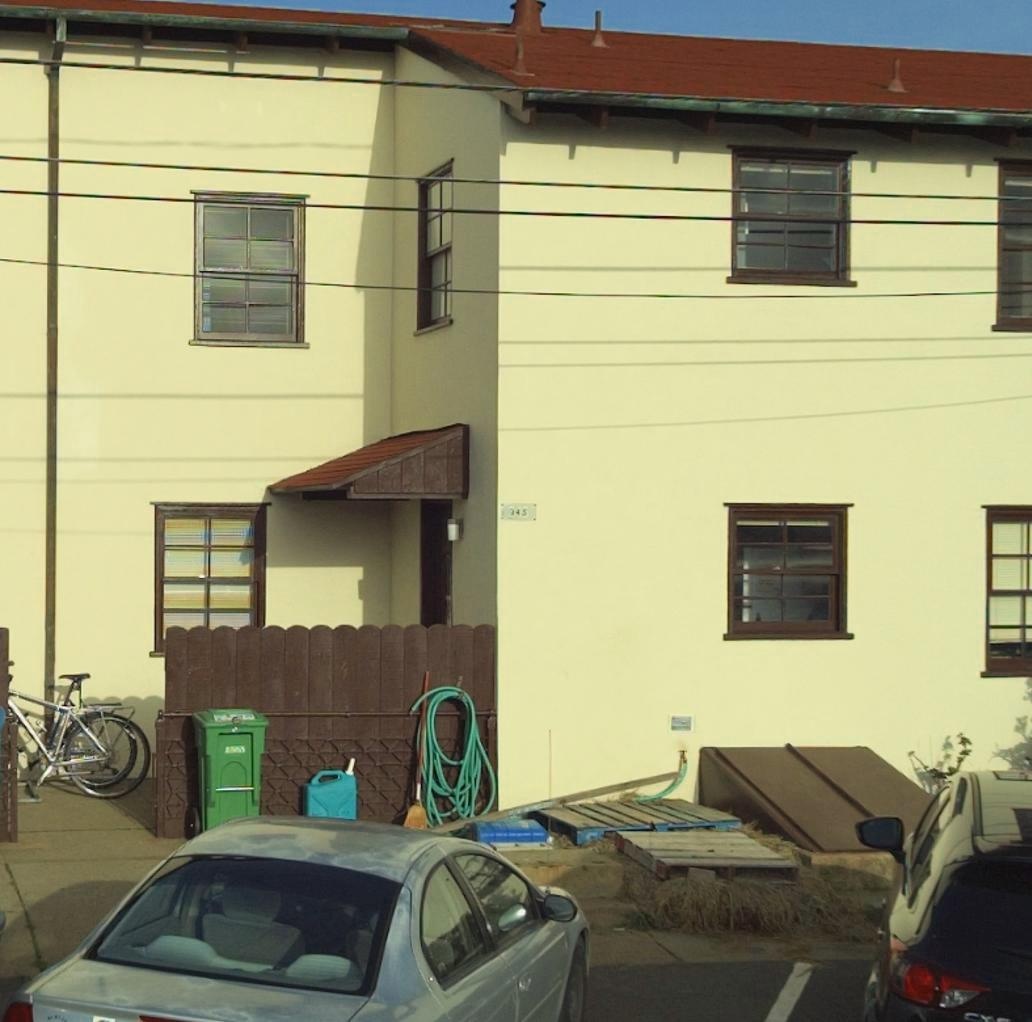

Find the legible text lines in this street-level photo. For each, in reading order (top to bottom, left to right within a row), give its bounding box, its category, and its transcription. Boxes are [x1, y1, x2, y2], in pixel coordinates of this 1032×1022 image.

[507, 506, 529, 518] StreetNumber: 34*